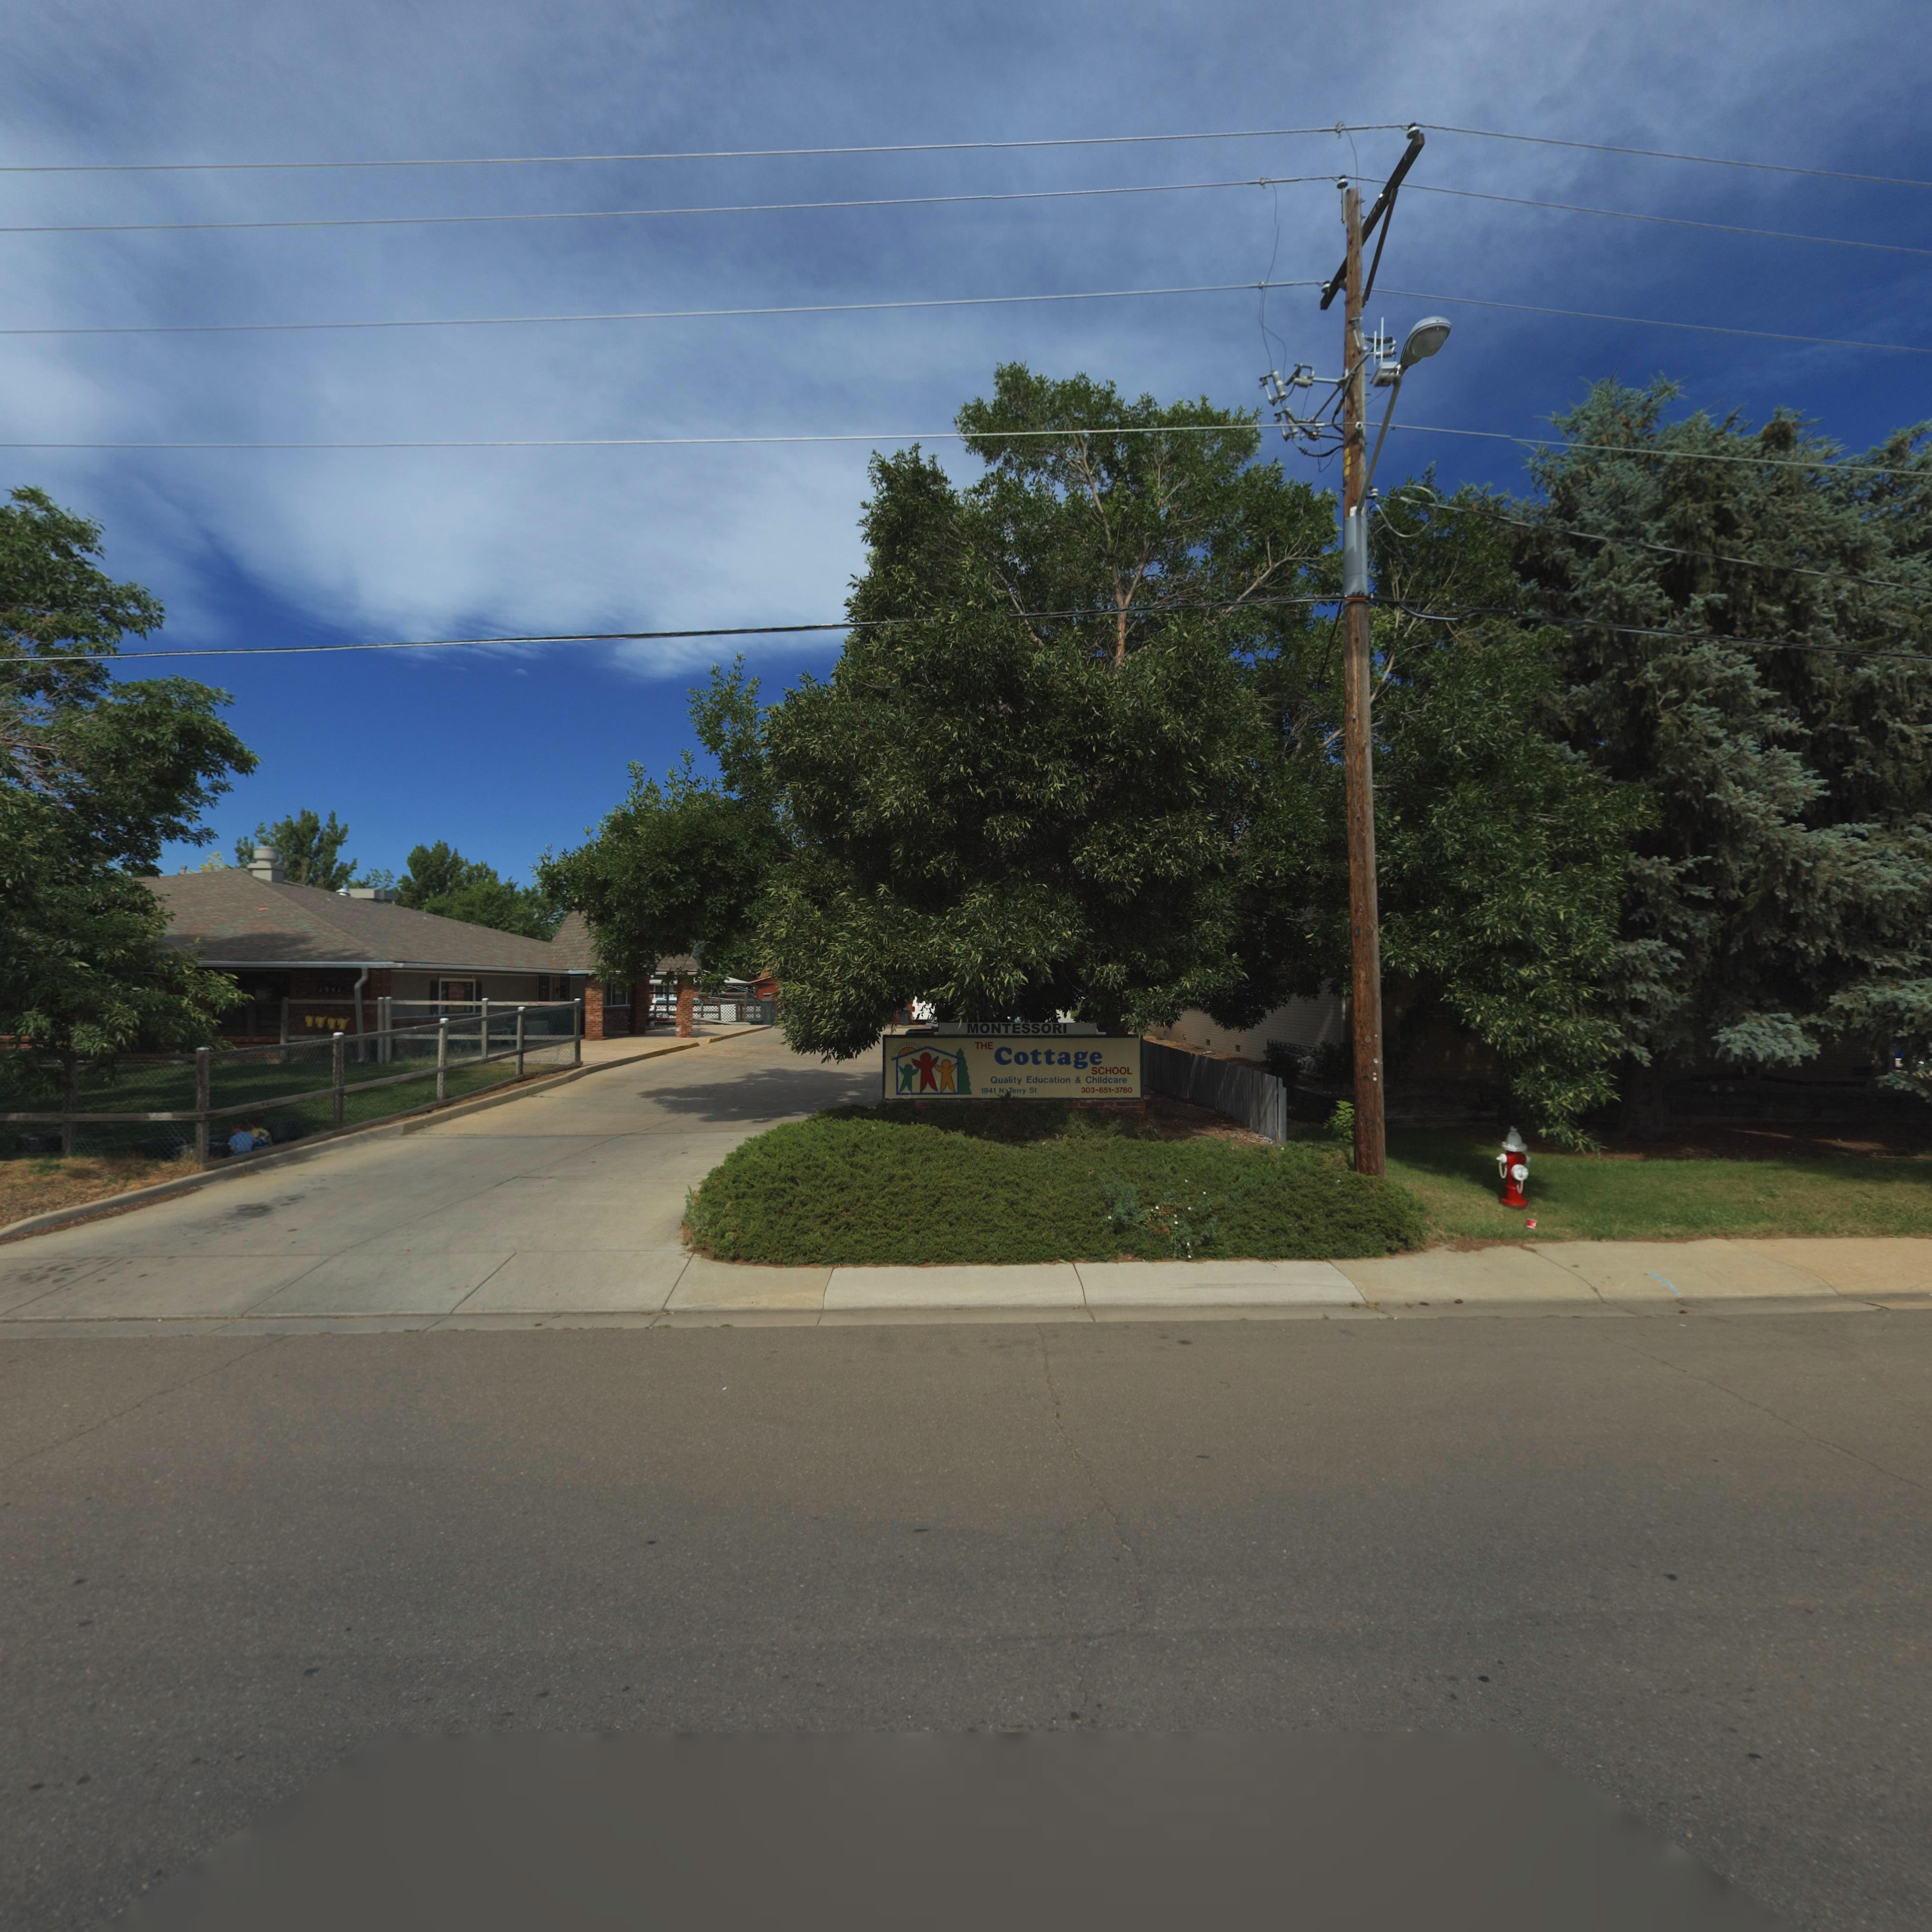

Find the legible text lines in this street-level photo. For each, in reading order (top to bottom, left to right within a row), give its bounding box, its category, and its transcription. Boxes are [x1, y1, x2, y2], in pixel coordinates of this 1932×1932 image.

[317, 986, 342, 993] StreetNumber: 1941
[966, 1023, 1067, 1034] BusinessName: MONTESSORI
[974, 1041, 994, 1050] BusinessName: THE
[994, 1046, 1102, 1070] BusinessName: Cottage
[1091, 1066, 1132, 1075] BusinessName: SCHOOL
[981, 1087, 996, 1093] StreetNumber: 1941
[998, 1087, 1037, 1094] StreetName: N. Terry St